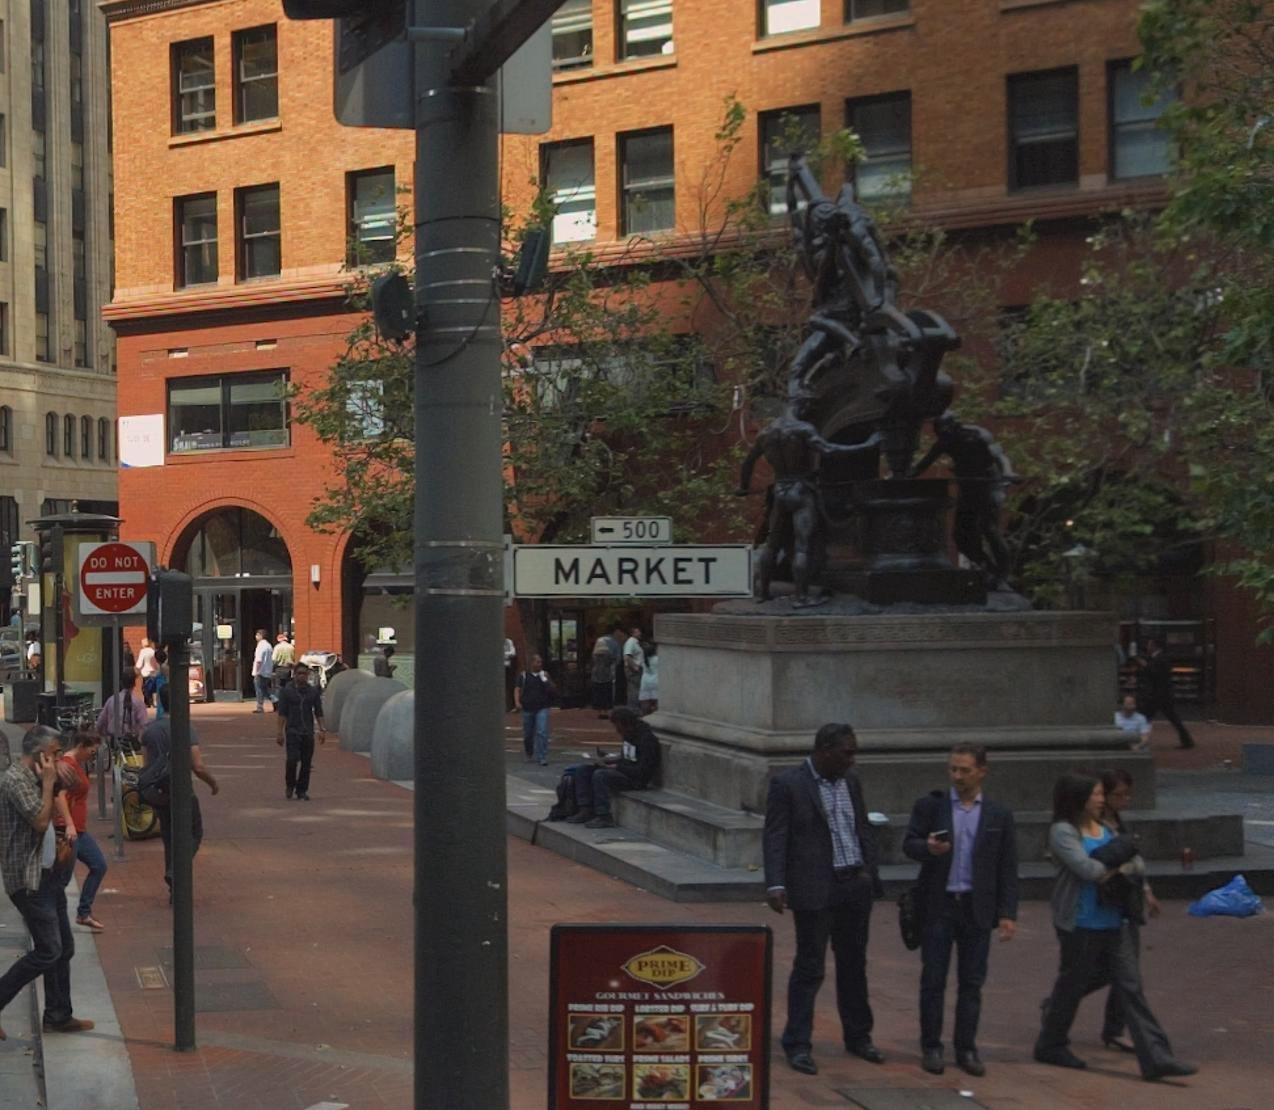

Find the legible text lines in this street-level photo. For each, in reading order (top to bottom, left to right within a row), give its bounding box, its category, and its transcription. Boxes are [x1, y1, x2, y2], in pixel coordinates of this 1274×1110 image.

[594, 519, 660, 541] StreetNumberRange: <-500
[89, 555, 140, 570] None: DO NOT
[552, 555, 719, 588] StreetName: MARKET
[95, 586, 135, 600] None: ENTER
[652, 967, 677, 977] None: DIP
[638, 959, 693, 972] None: PRIME
[593, 988, 727, 1002] None: GOUR*MRT SAND**CHES